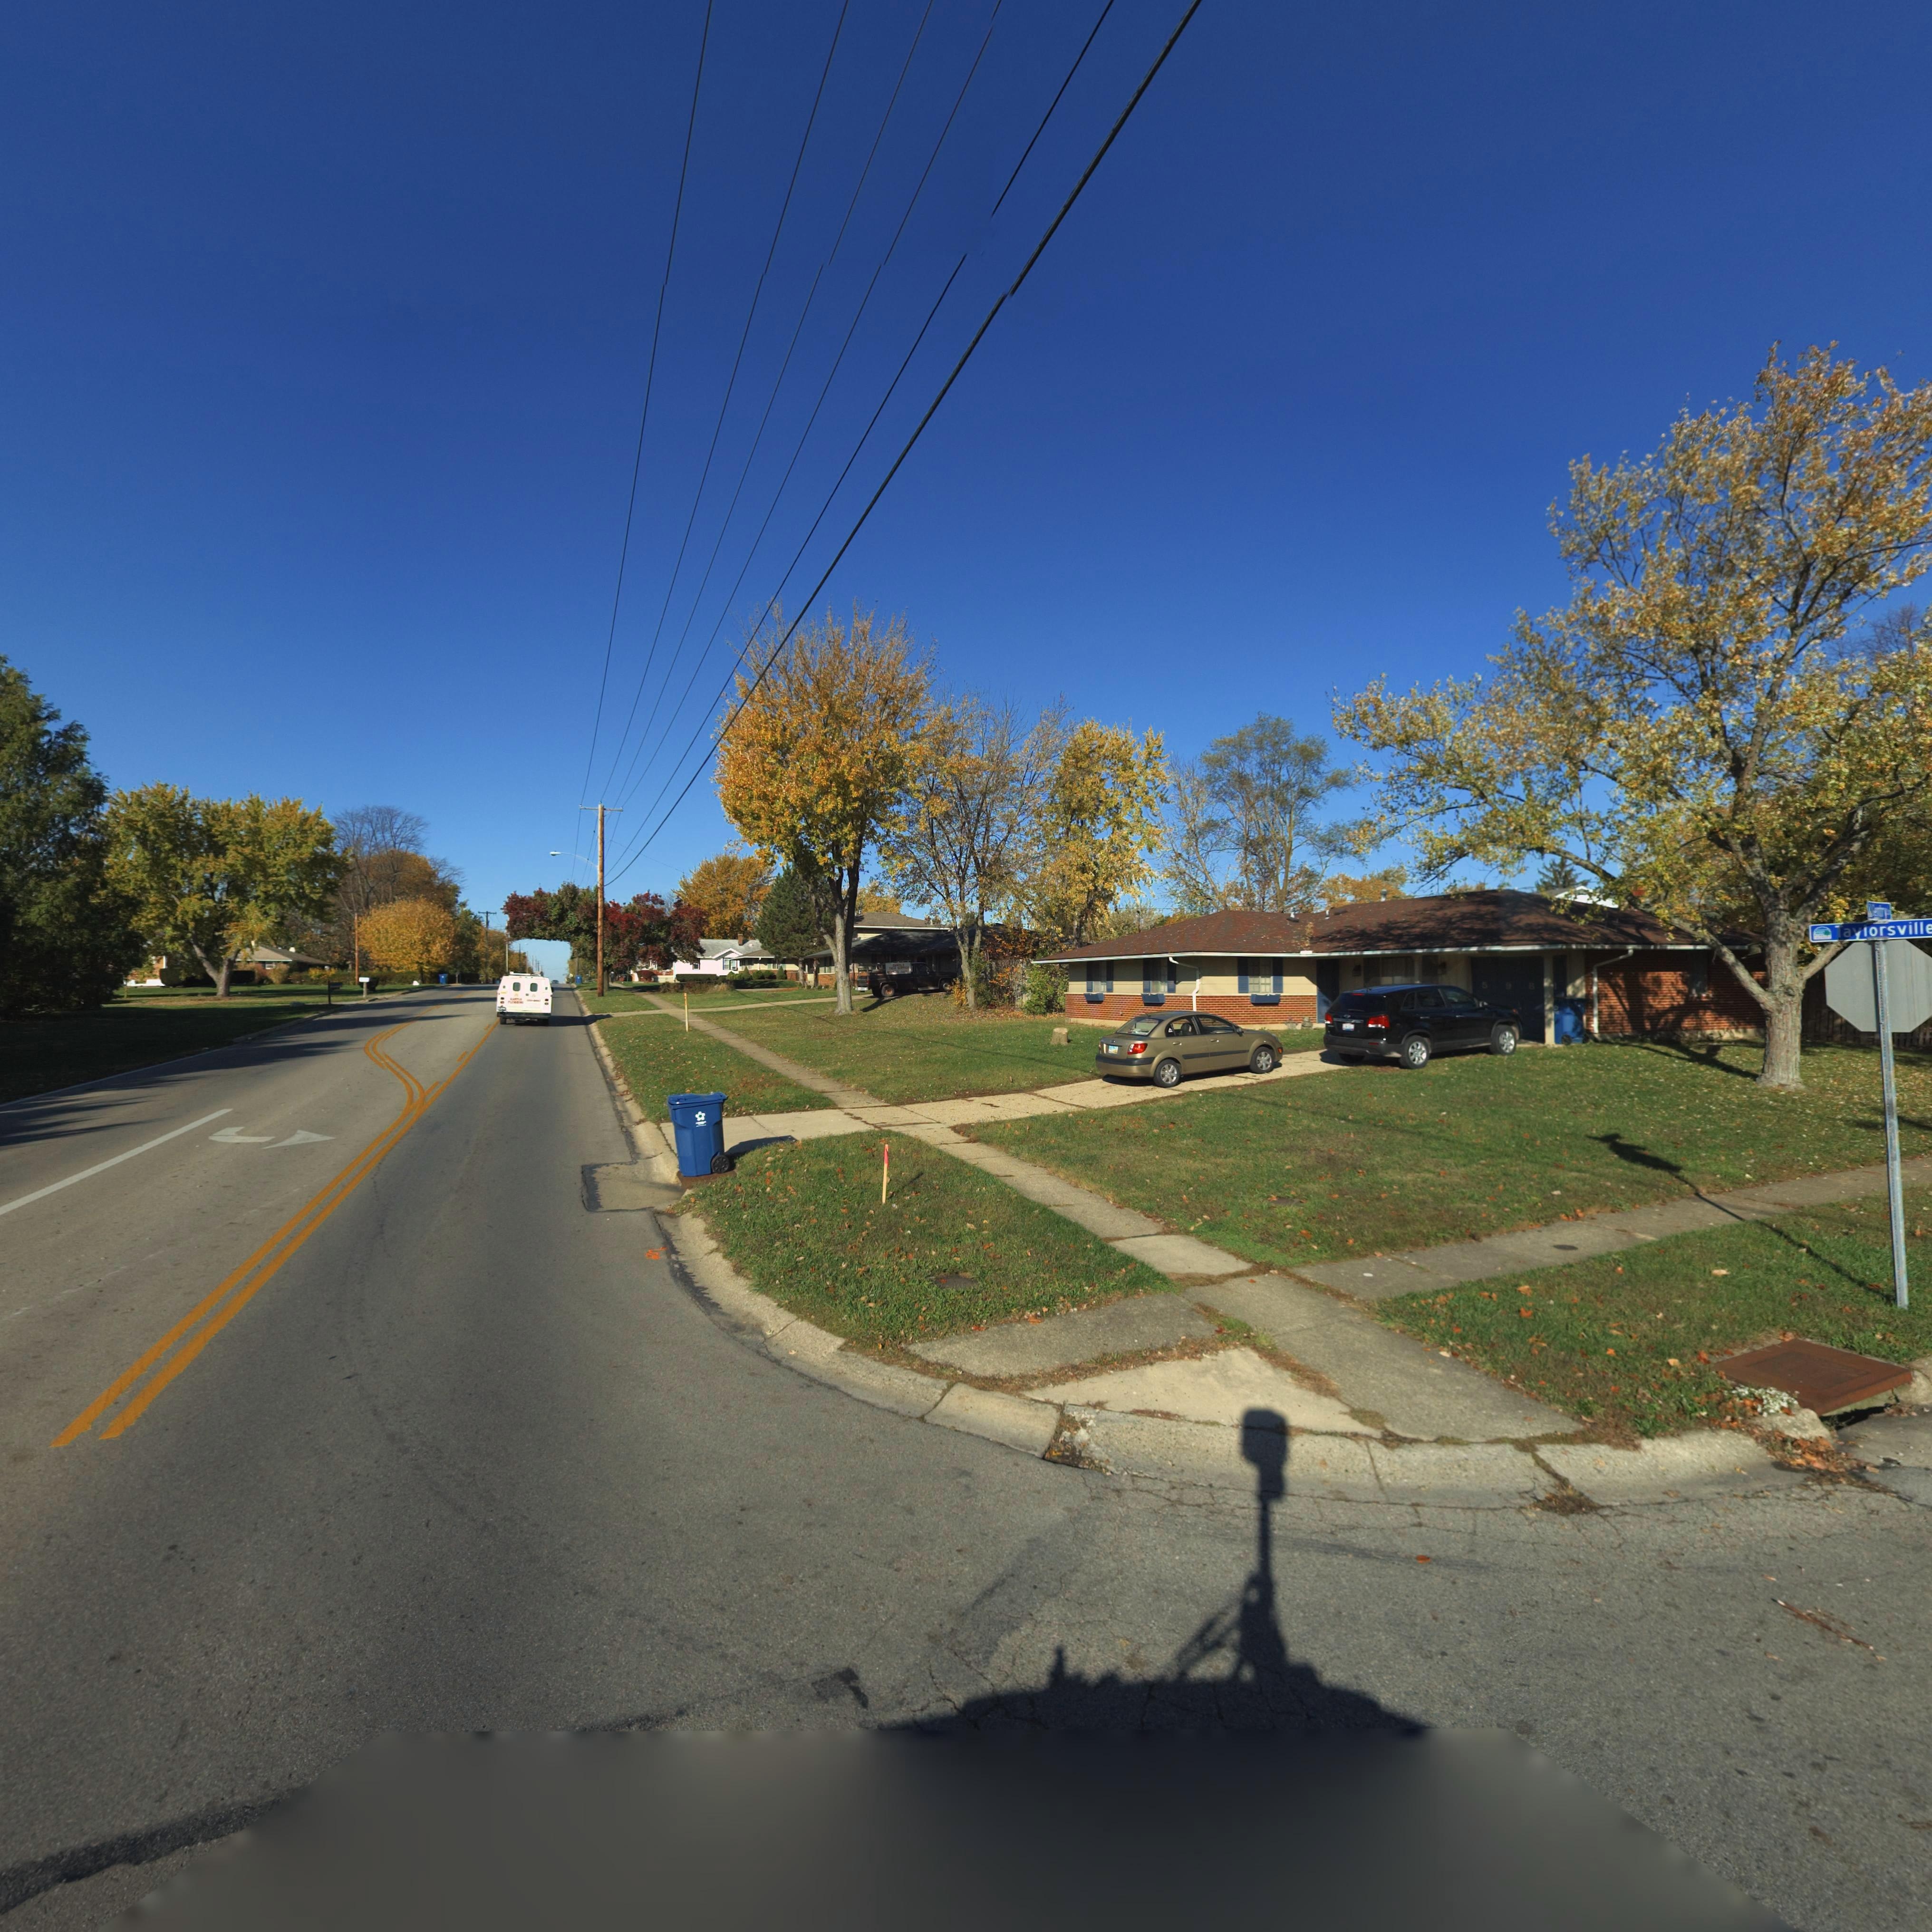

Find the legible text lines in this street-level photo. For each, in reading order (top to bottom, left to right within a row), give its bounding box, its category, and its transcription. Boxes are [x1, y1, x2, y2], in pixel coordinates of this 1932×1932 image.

[1479, 980, 1558, 991] StreetNumber: 5981